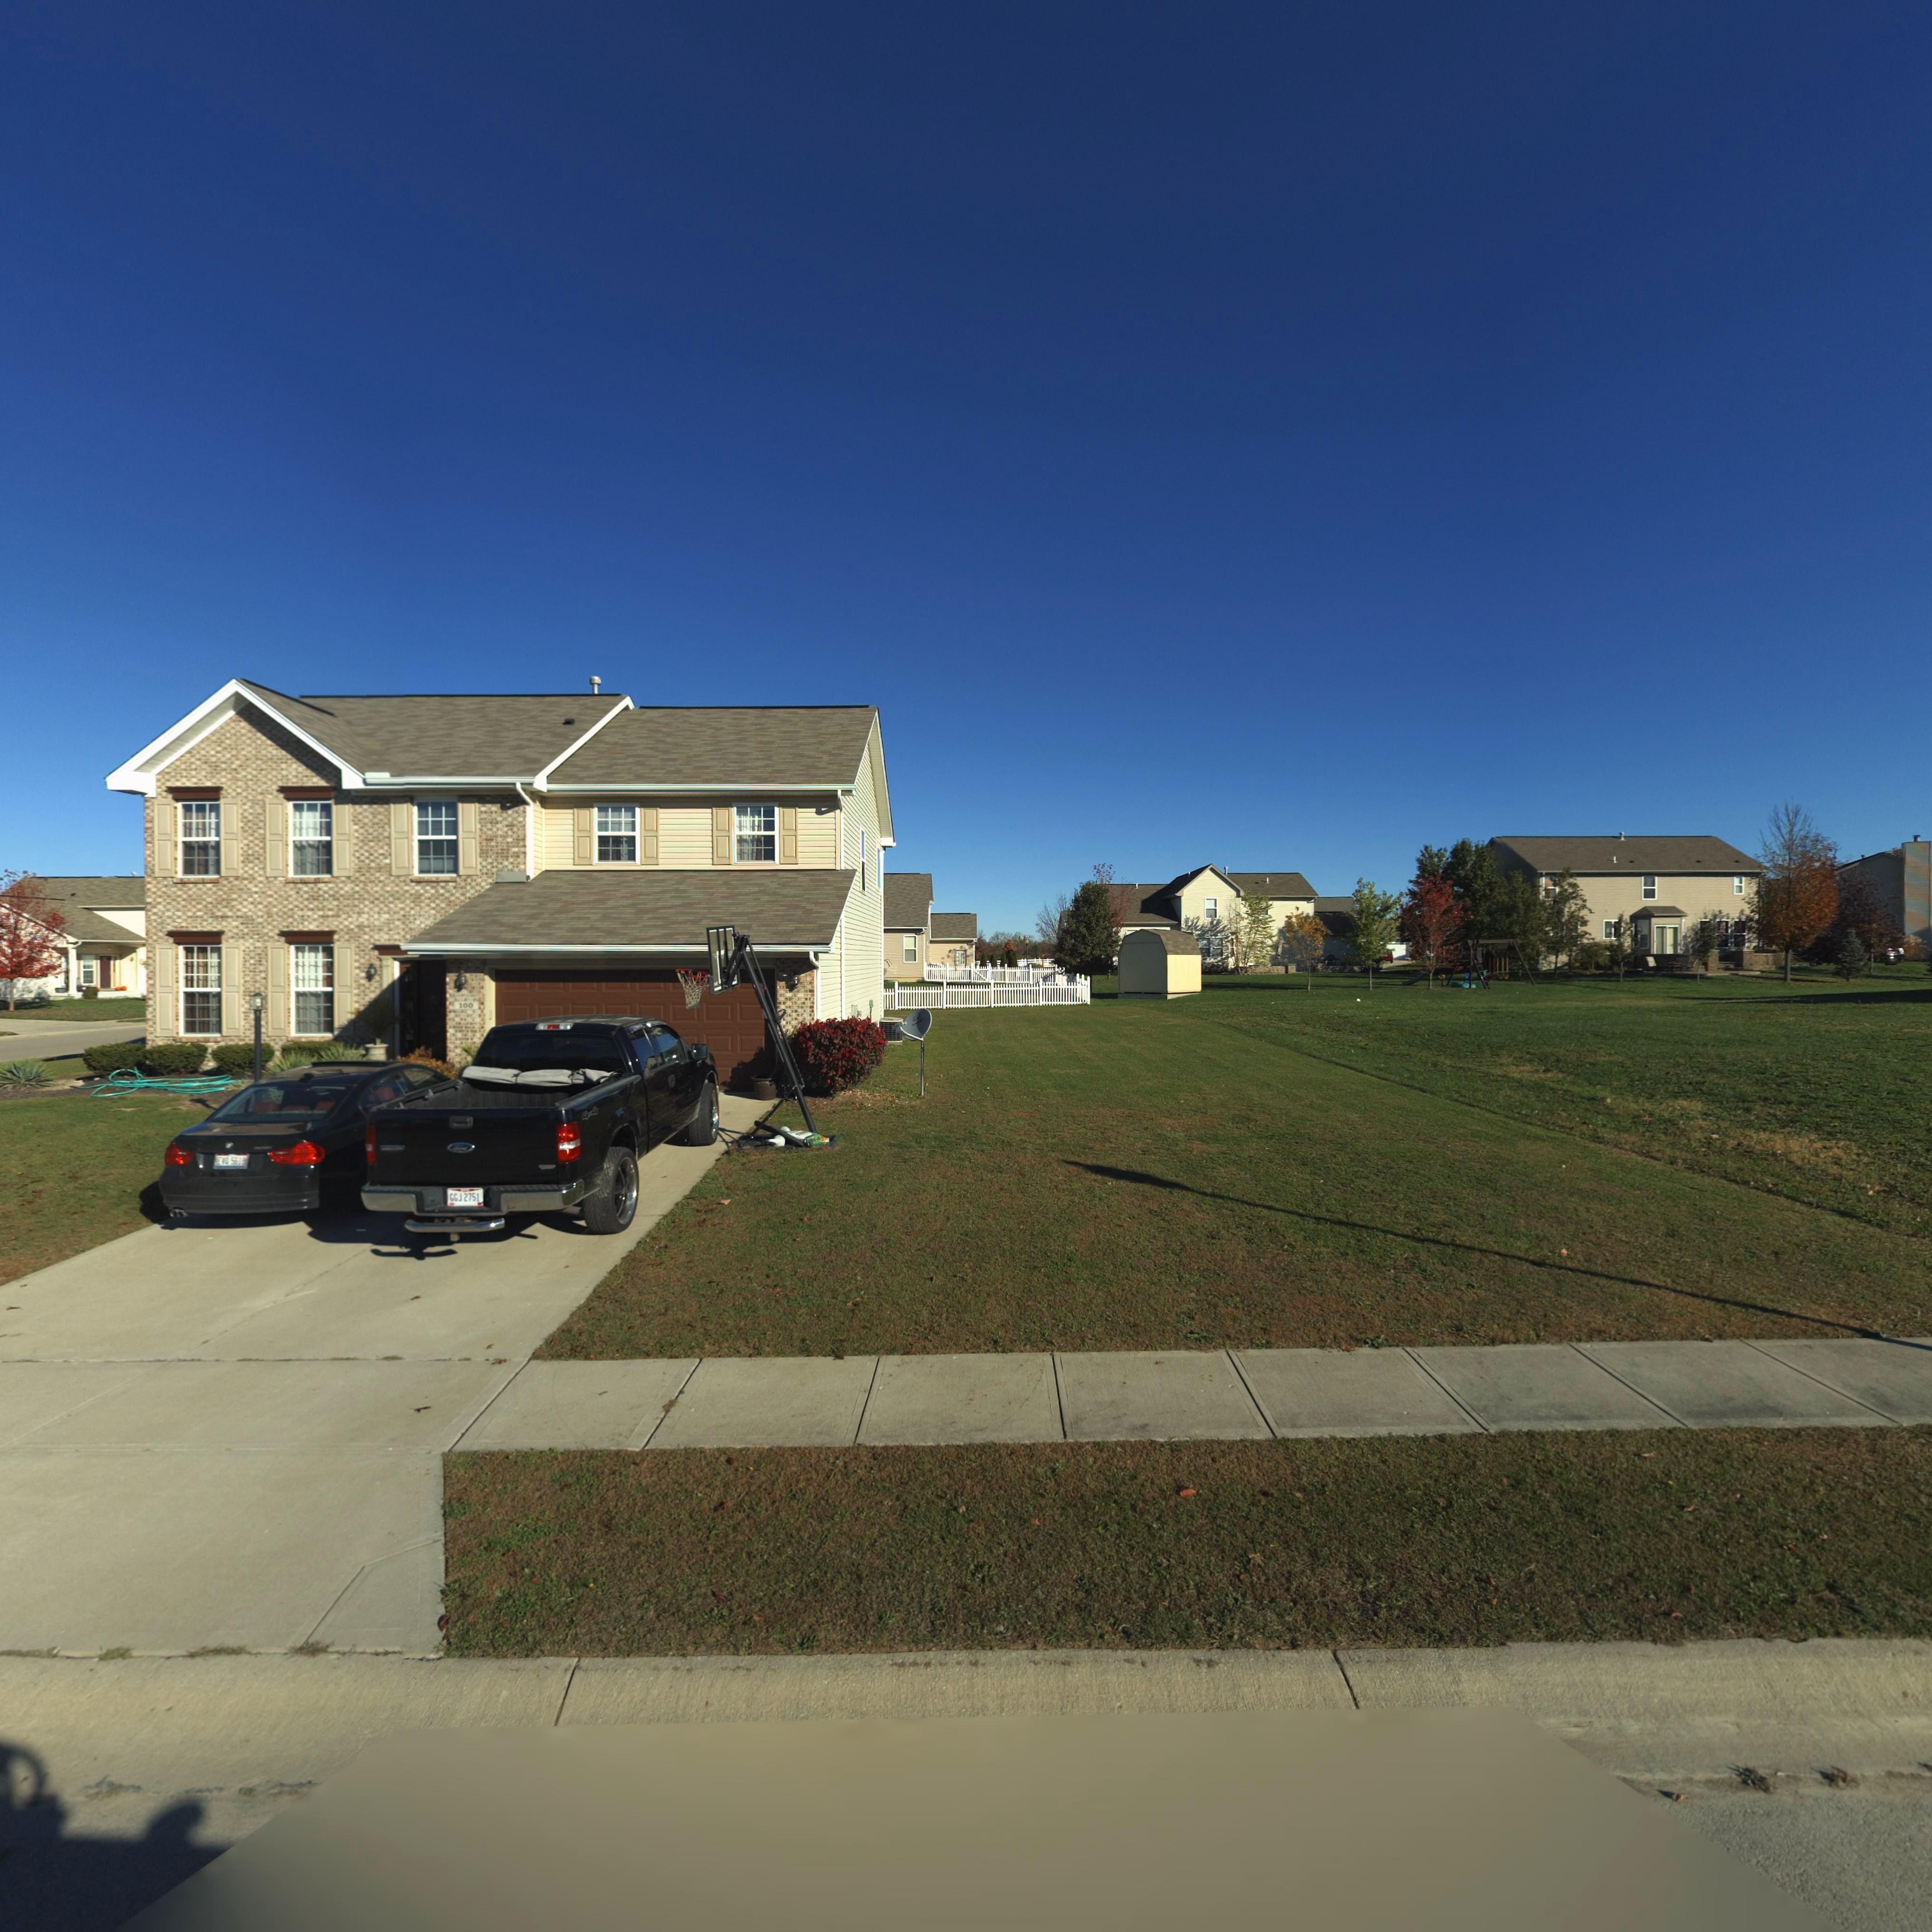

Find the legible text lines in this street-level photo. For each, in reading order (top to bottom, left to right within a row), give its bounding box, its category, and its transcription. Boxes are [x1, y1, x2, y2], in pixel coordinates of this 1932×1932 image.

[458, 1002, 474, 1009] StreetNumber: 100
[214, 1155, 248, 1167] None: EVO 5619
[448, 1191, 479, 1202] None: GGJ 2751